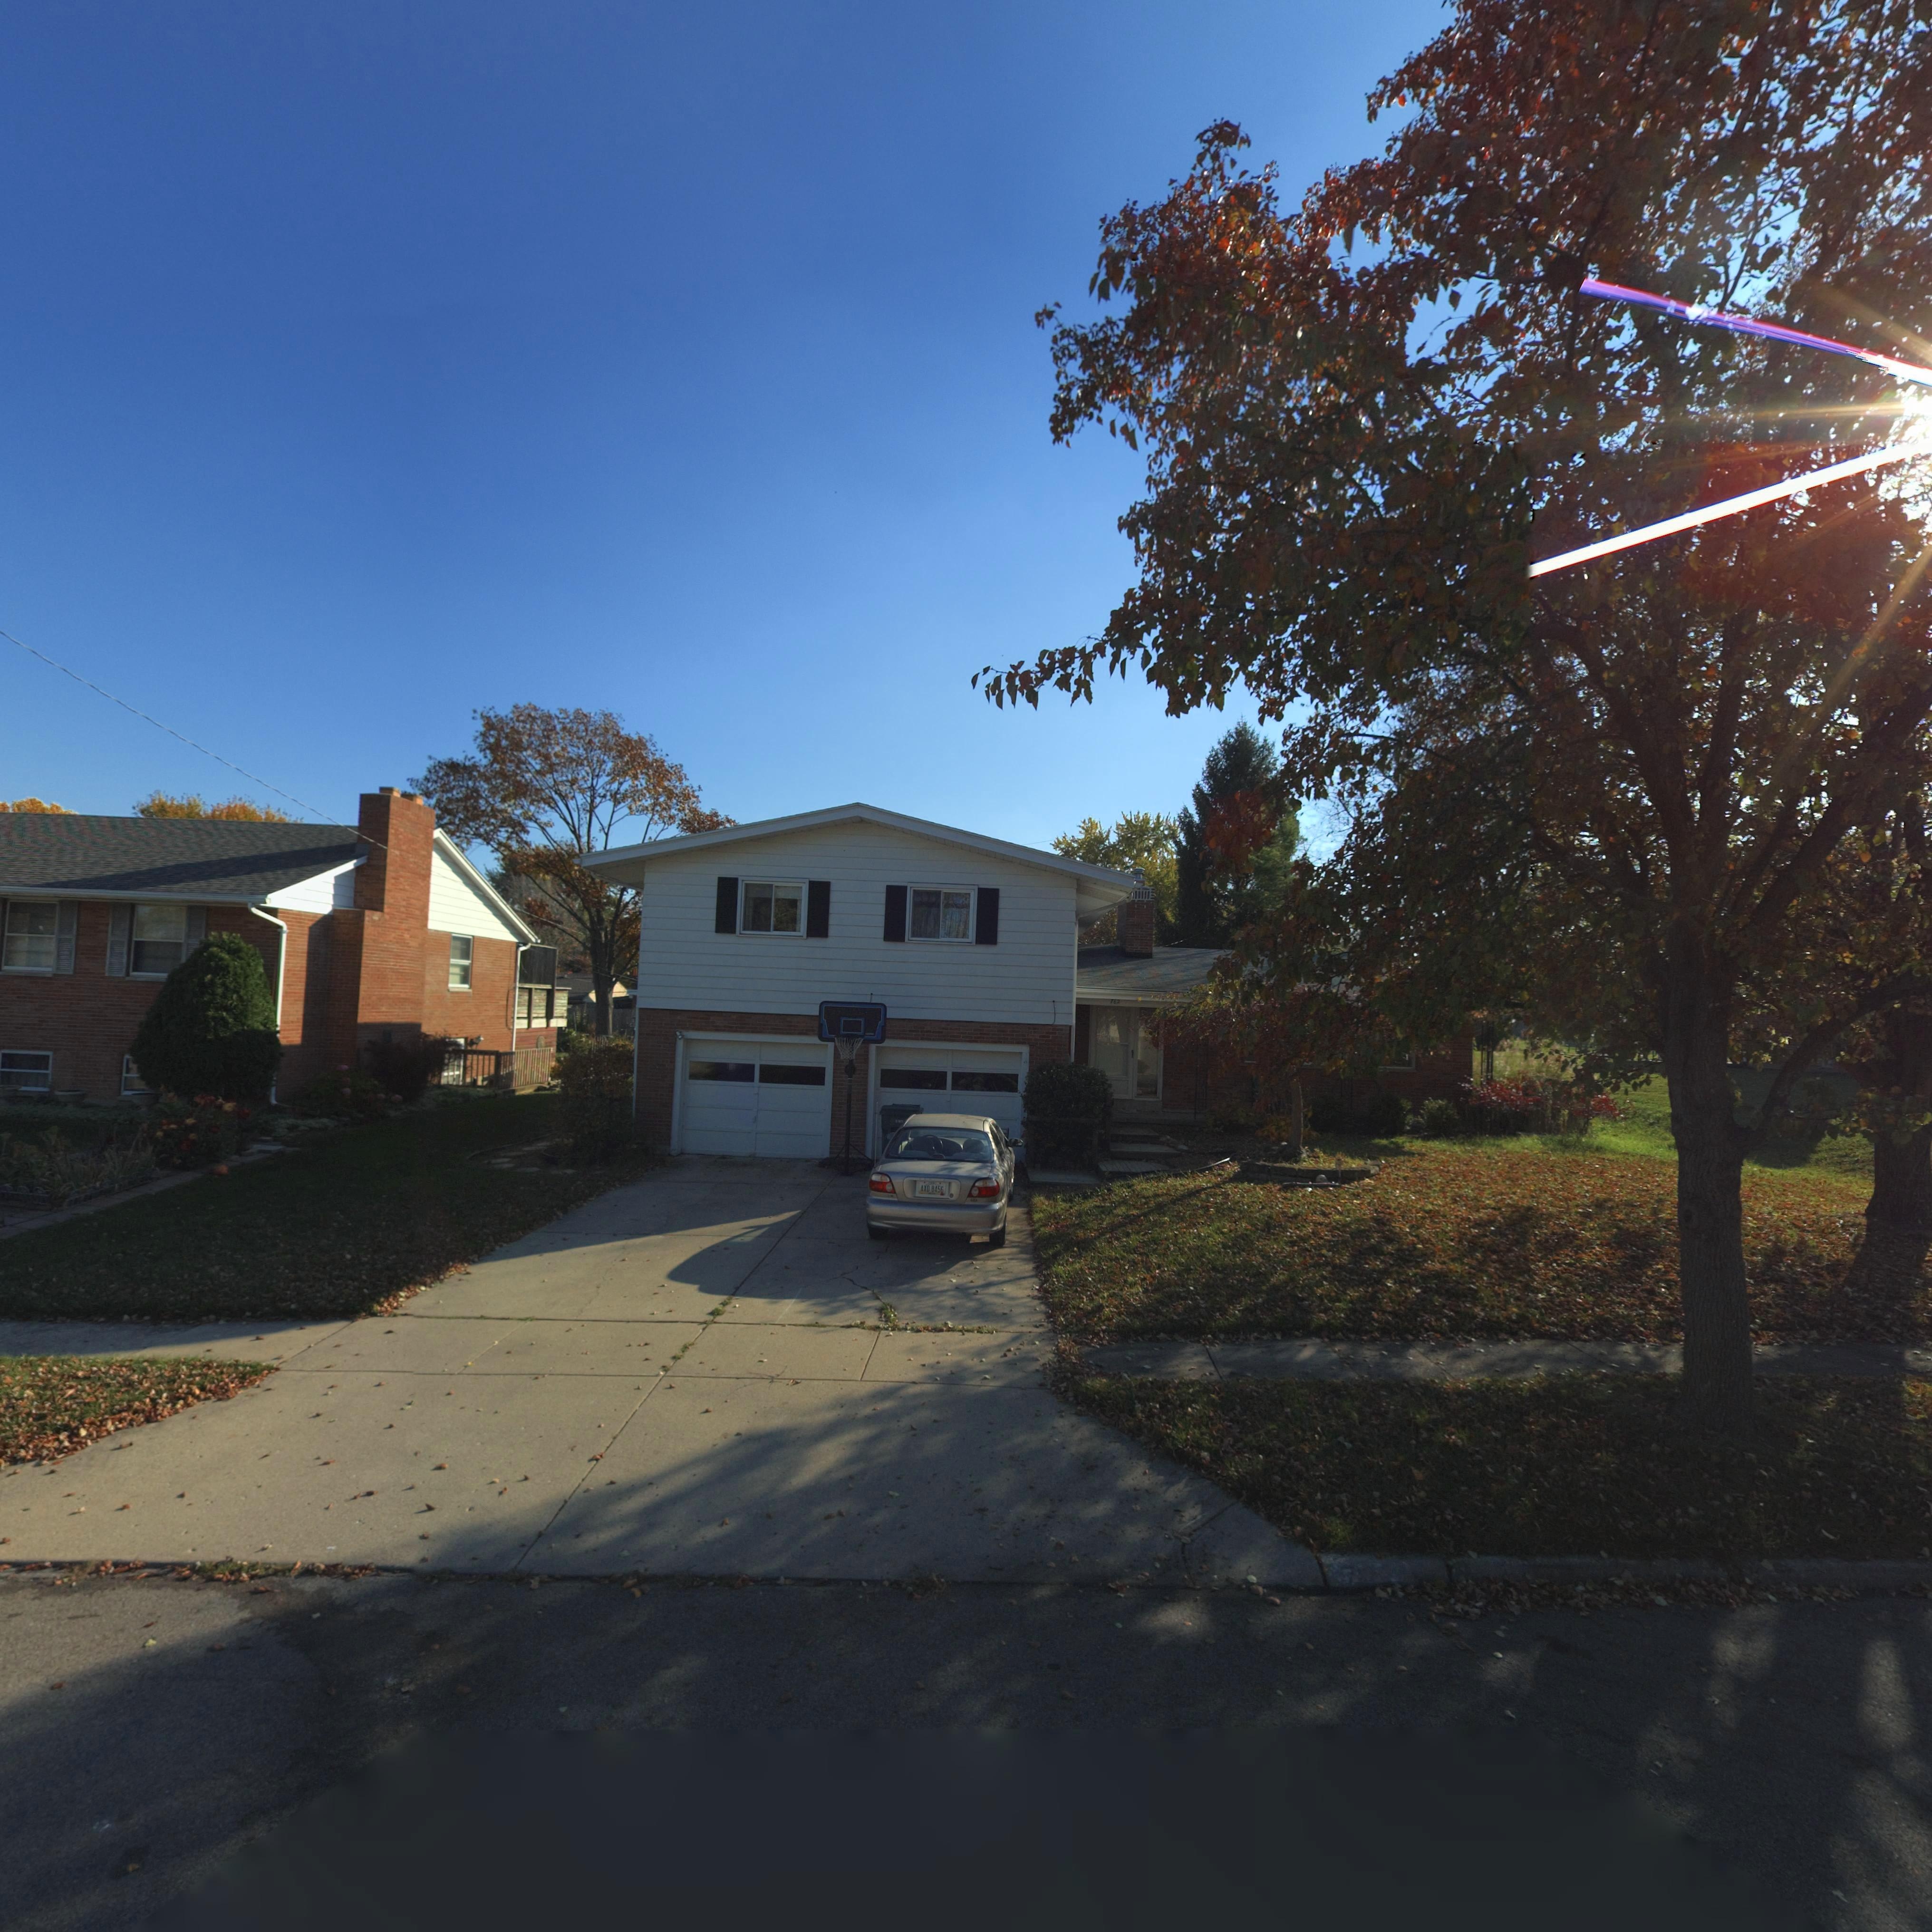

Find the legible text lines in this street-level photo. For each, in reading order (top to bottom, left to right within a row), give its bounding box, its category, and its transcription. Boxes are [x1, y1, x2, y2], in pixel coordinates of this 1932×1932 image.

[1110, 998, 1121, 1004] StreetNumber: 762